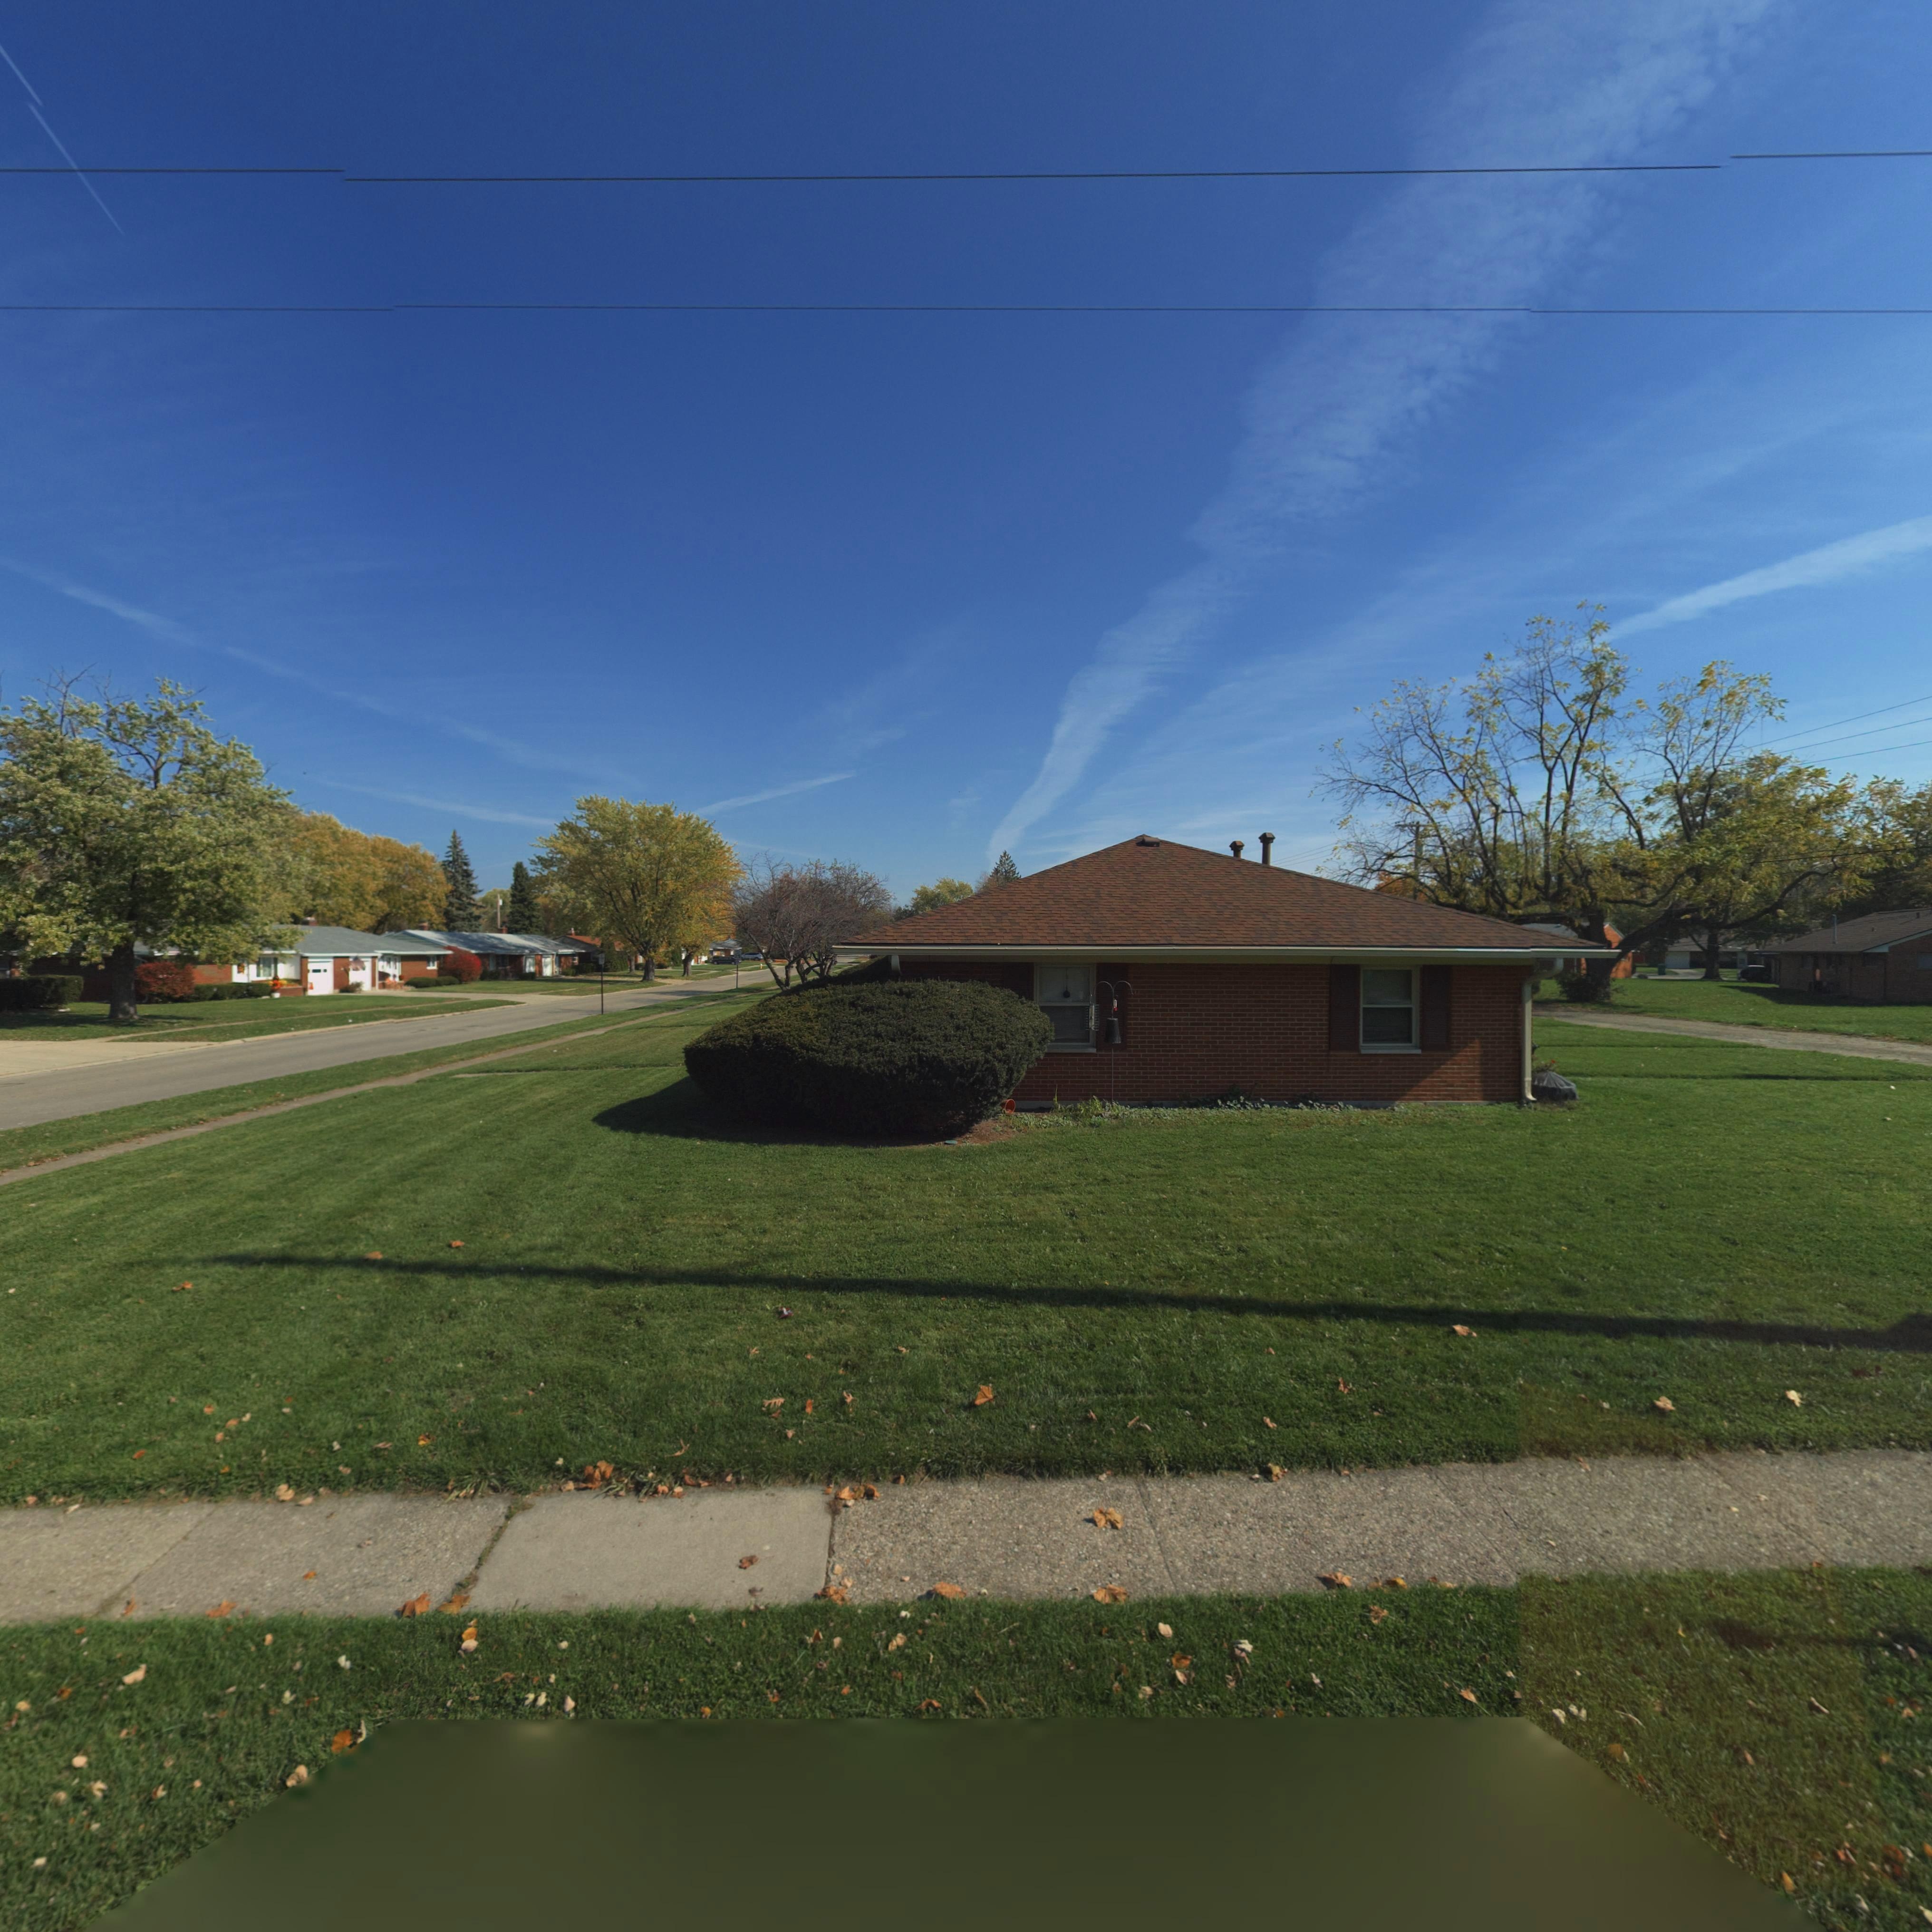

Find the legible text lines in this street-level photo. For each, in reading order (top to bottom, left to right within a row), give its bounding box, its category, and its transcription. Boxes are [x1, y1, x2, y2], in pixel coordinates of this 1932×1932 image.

[734, 954, 741, 958] None: 25